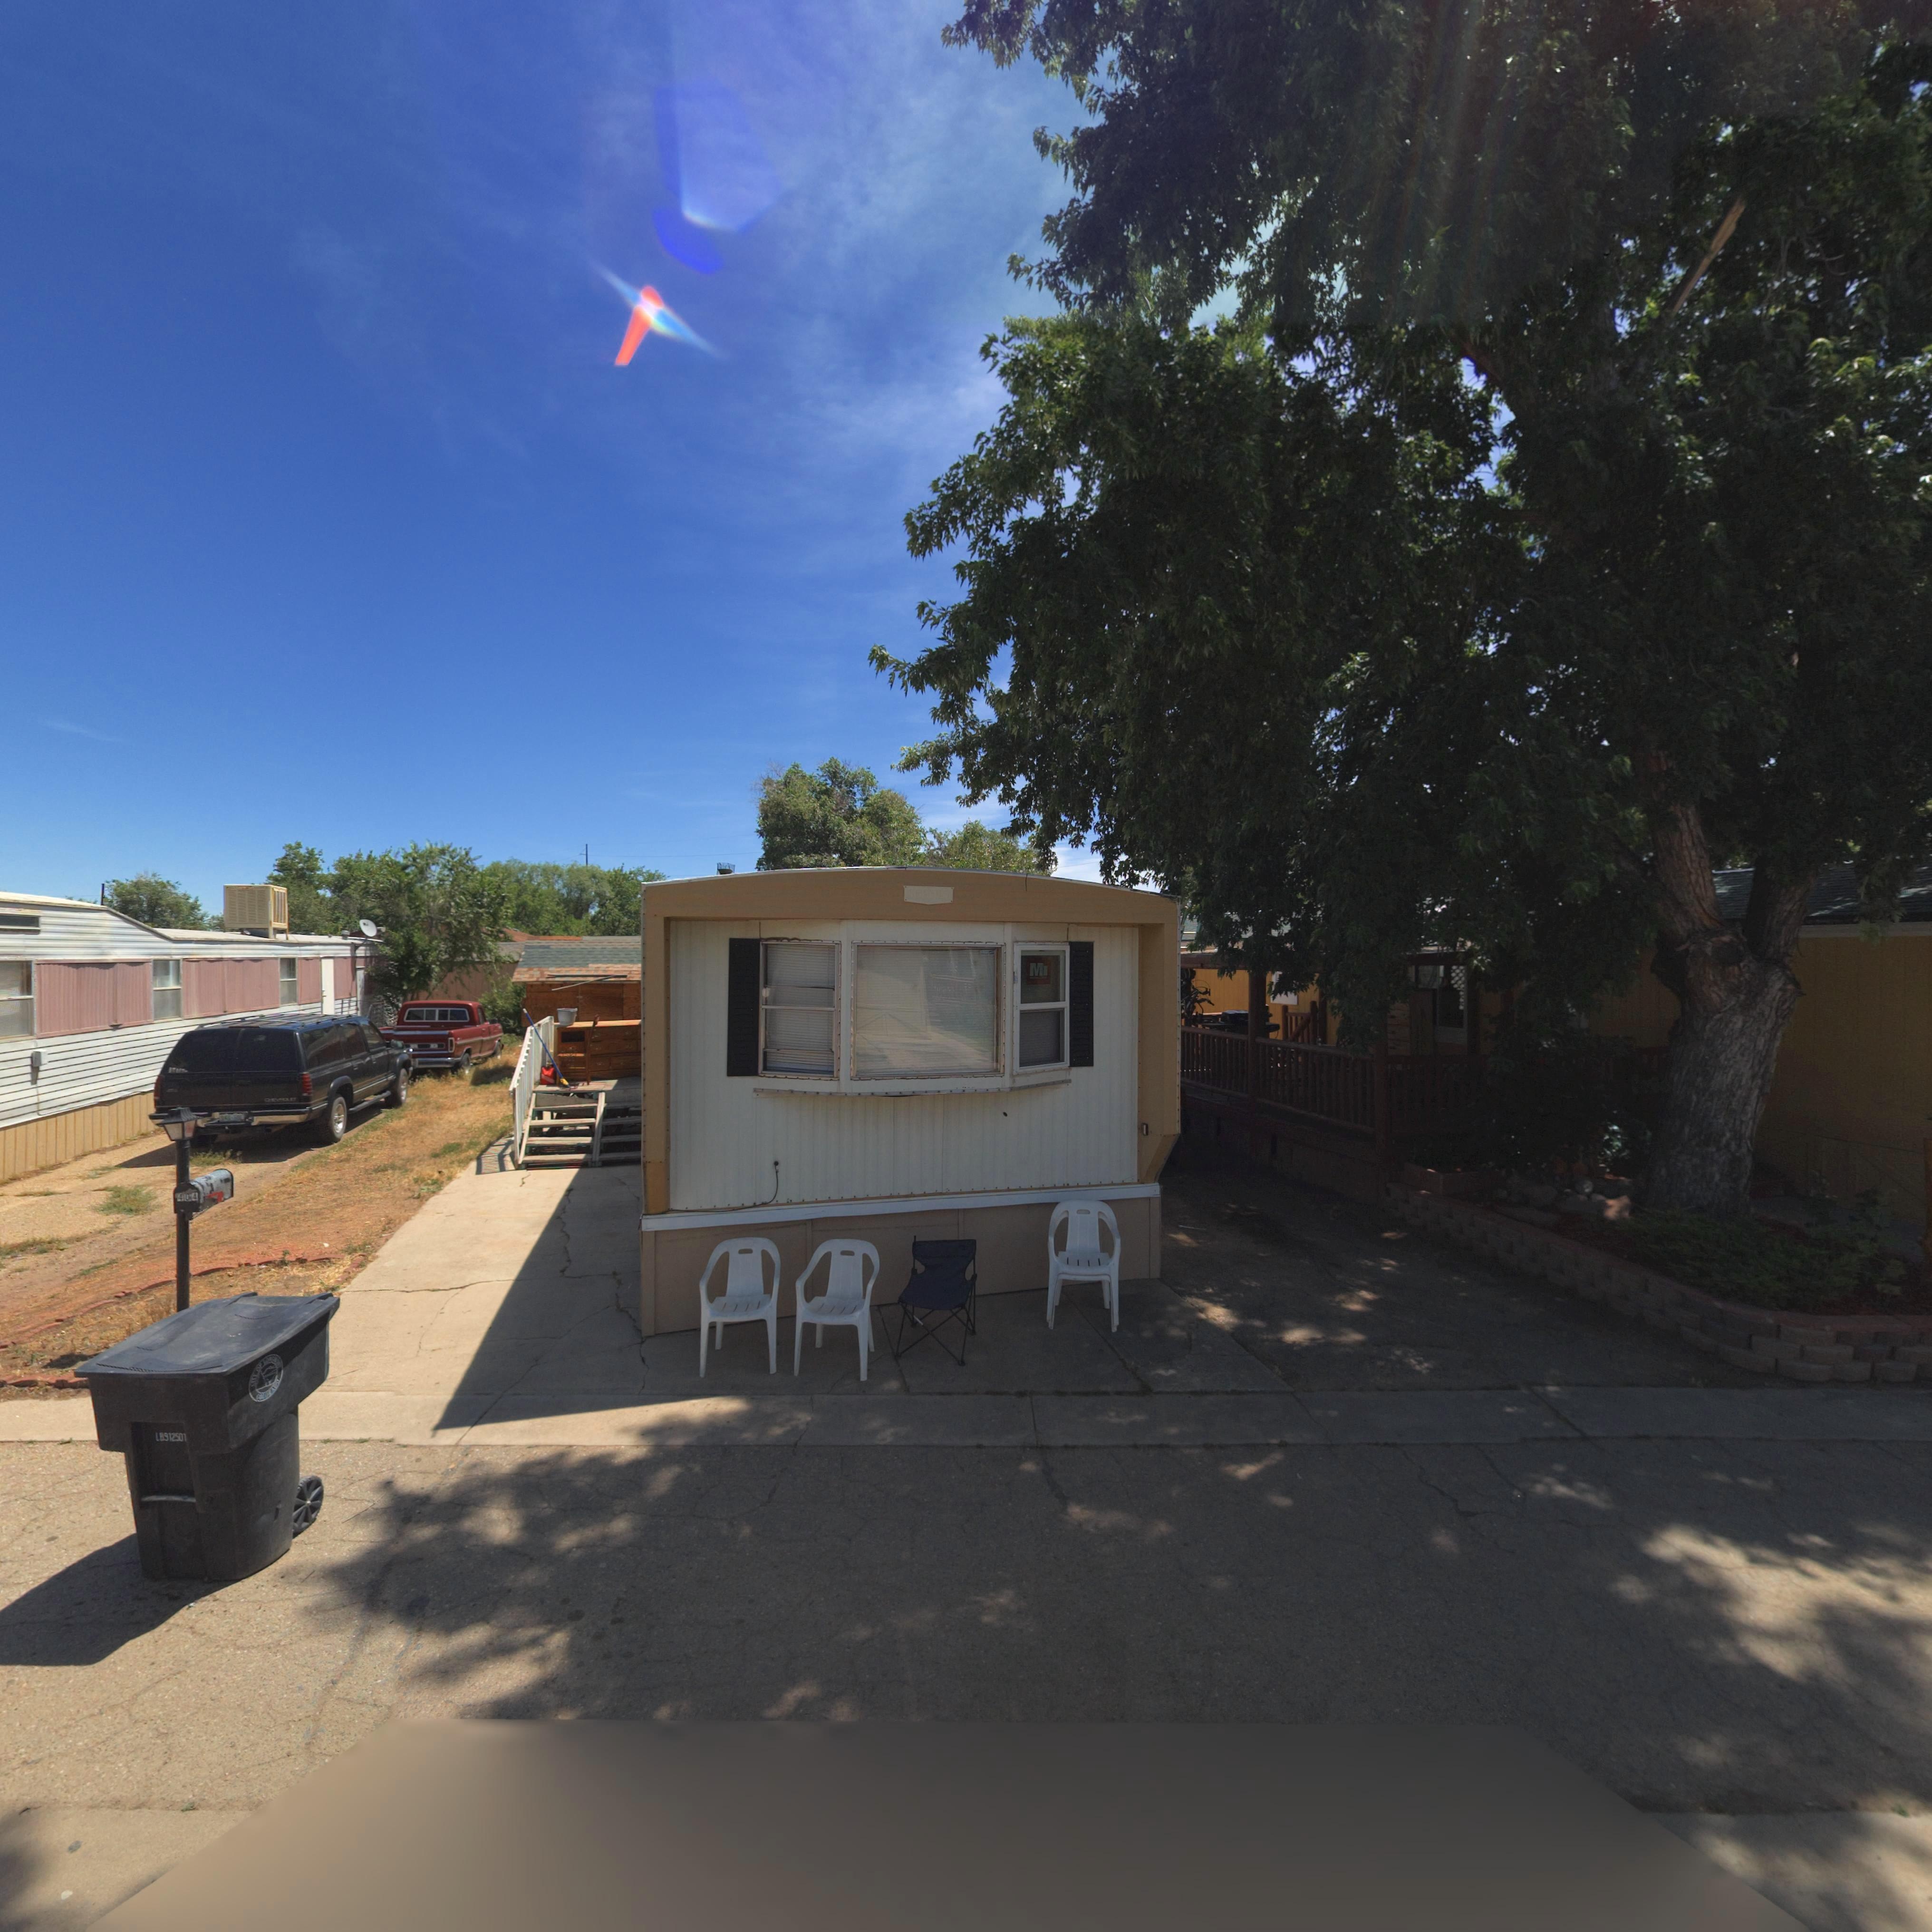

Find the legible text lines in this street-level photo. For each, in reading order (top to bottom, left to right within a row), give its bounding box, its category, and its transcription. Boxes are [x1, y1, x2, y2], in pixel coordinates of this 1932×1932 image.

[177, 1192, 196, 1201] StreetNumber: 404